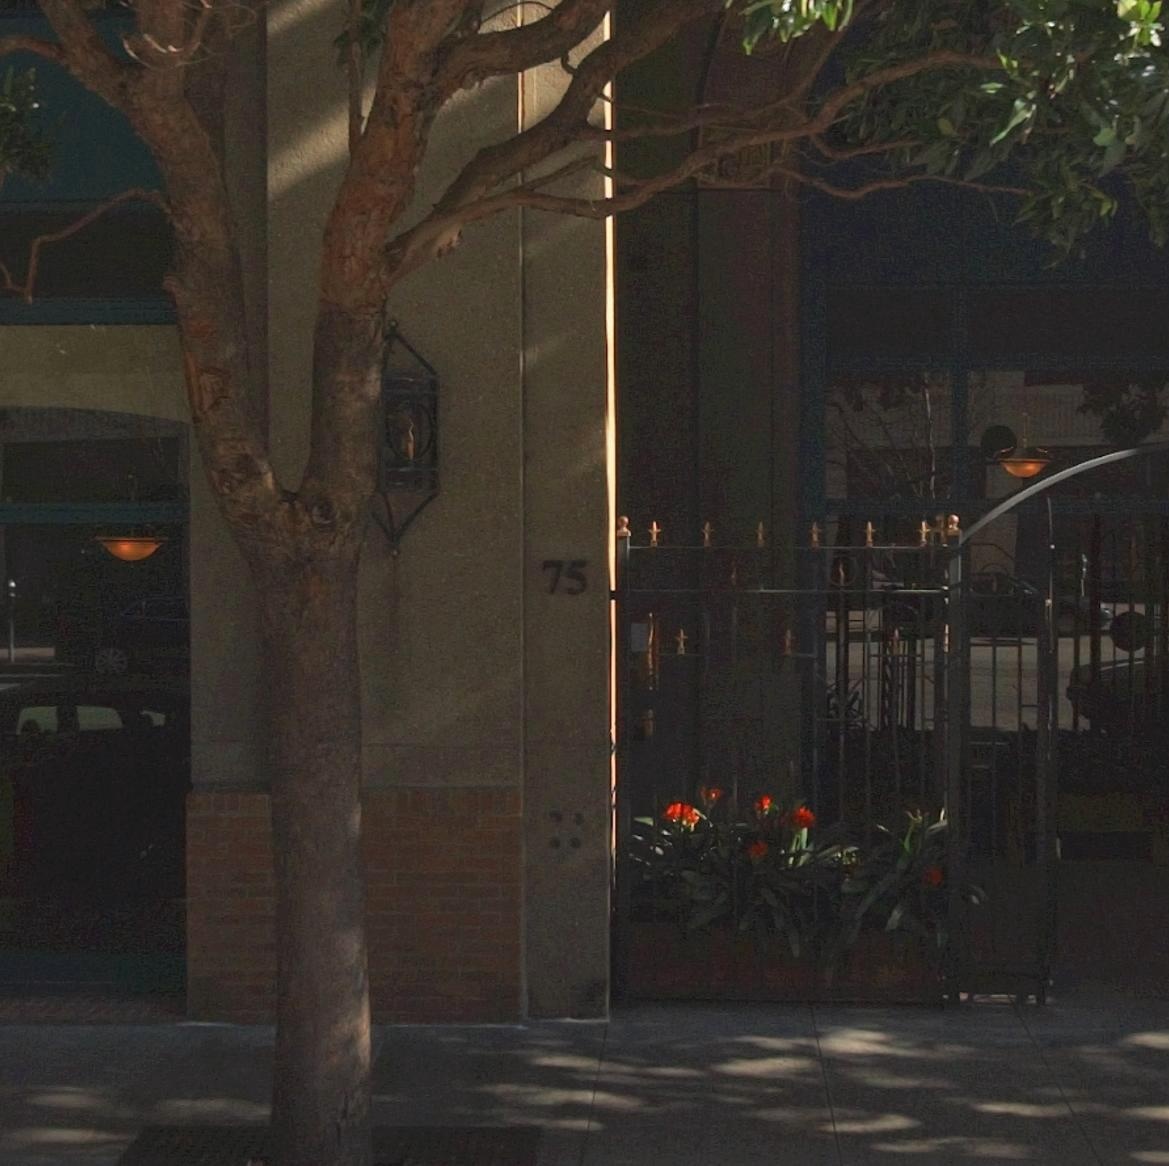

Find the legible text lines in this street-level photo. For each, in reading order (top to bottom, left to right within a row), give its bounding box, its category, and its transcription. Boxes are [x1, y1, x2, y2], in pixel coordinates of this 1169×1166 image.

[541, 557, 590, 598] StreetNumber: 75